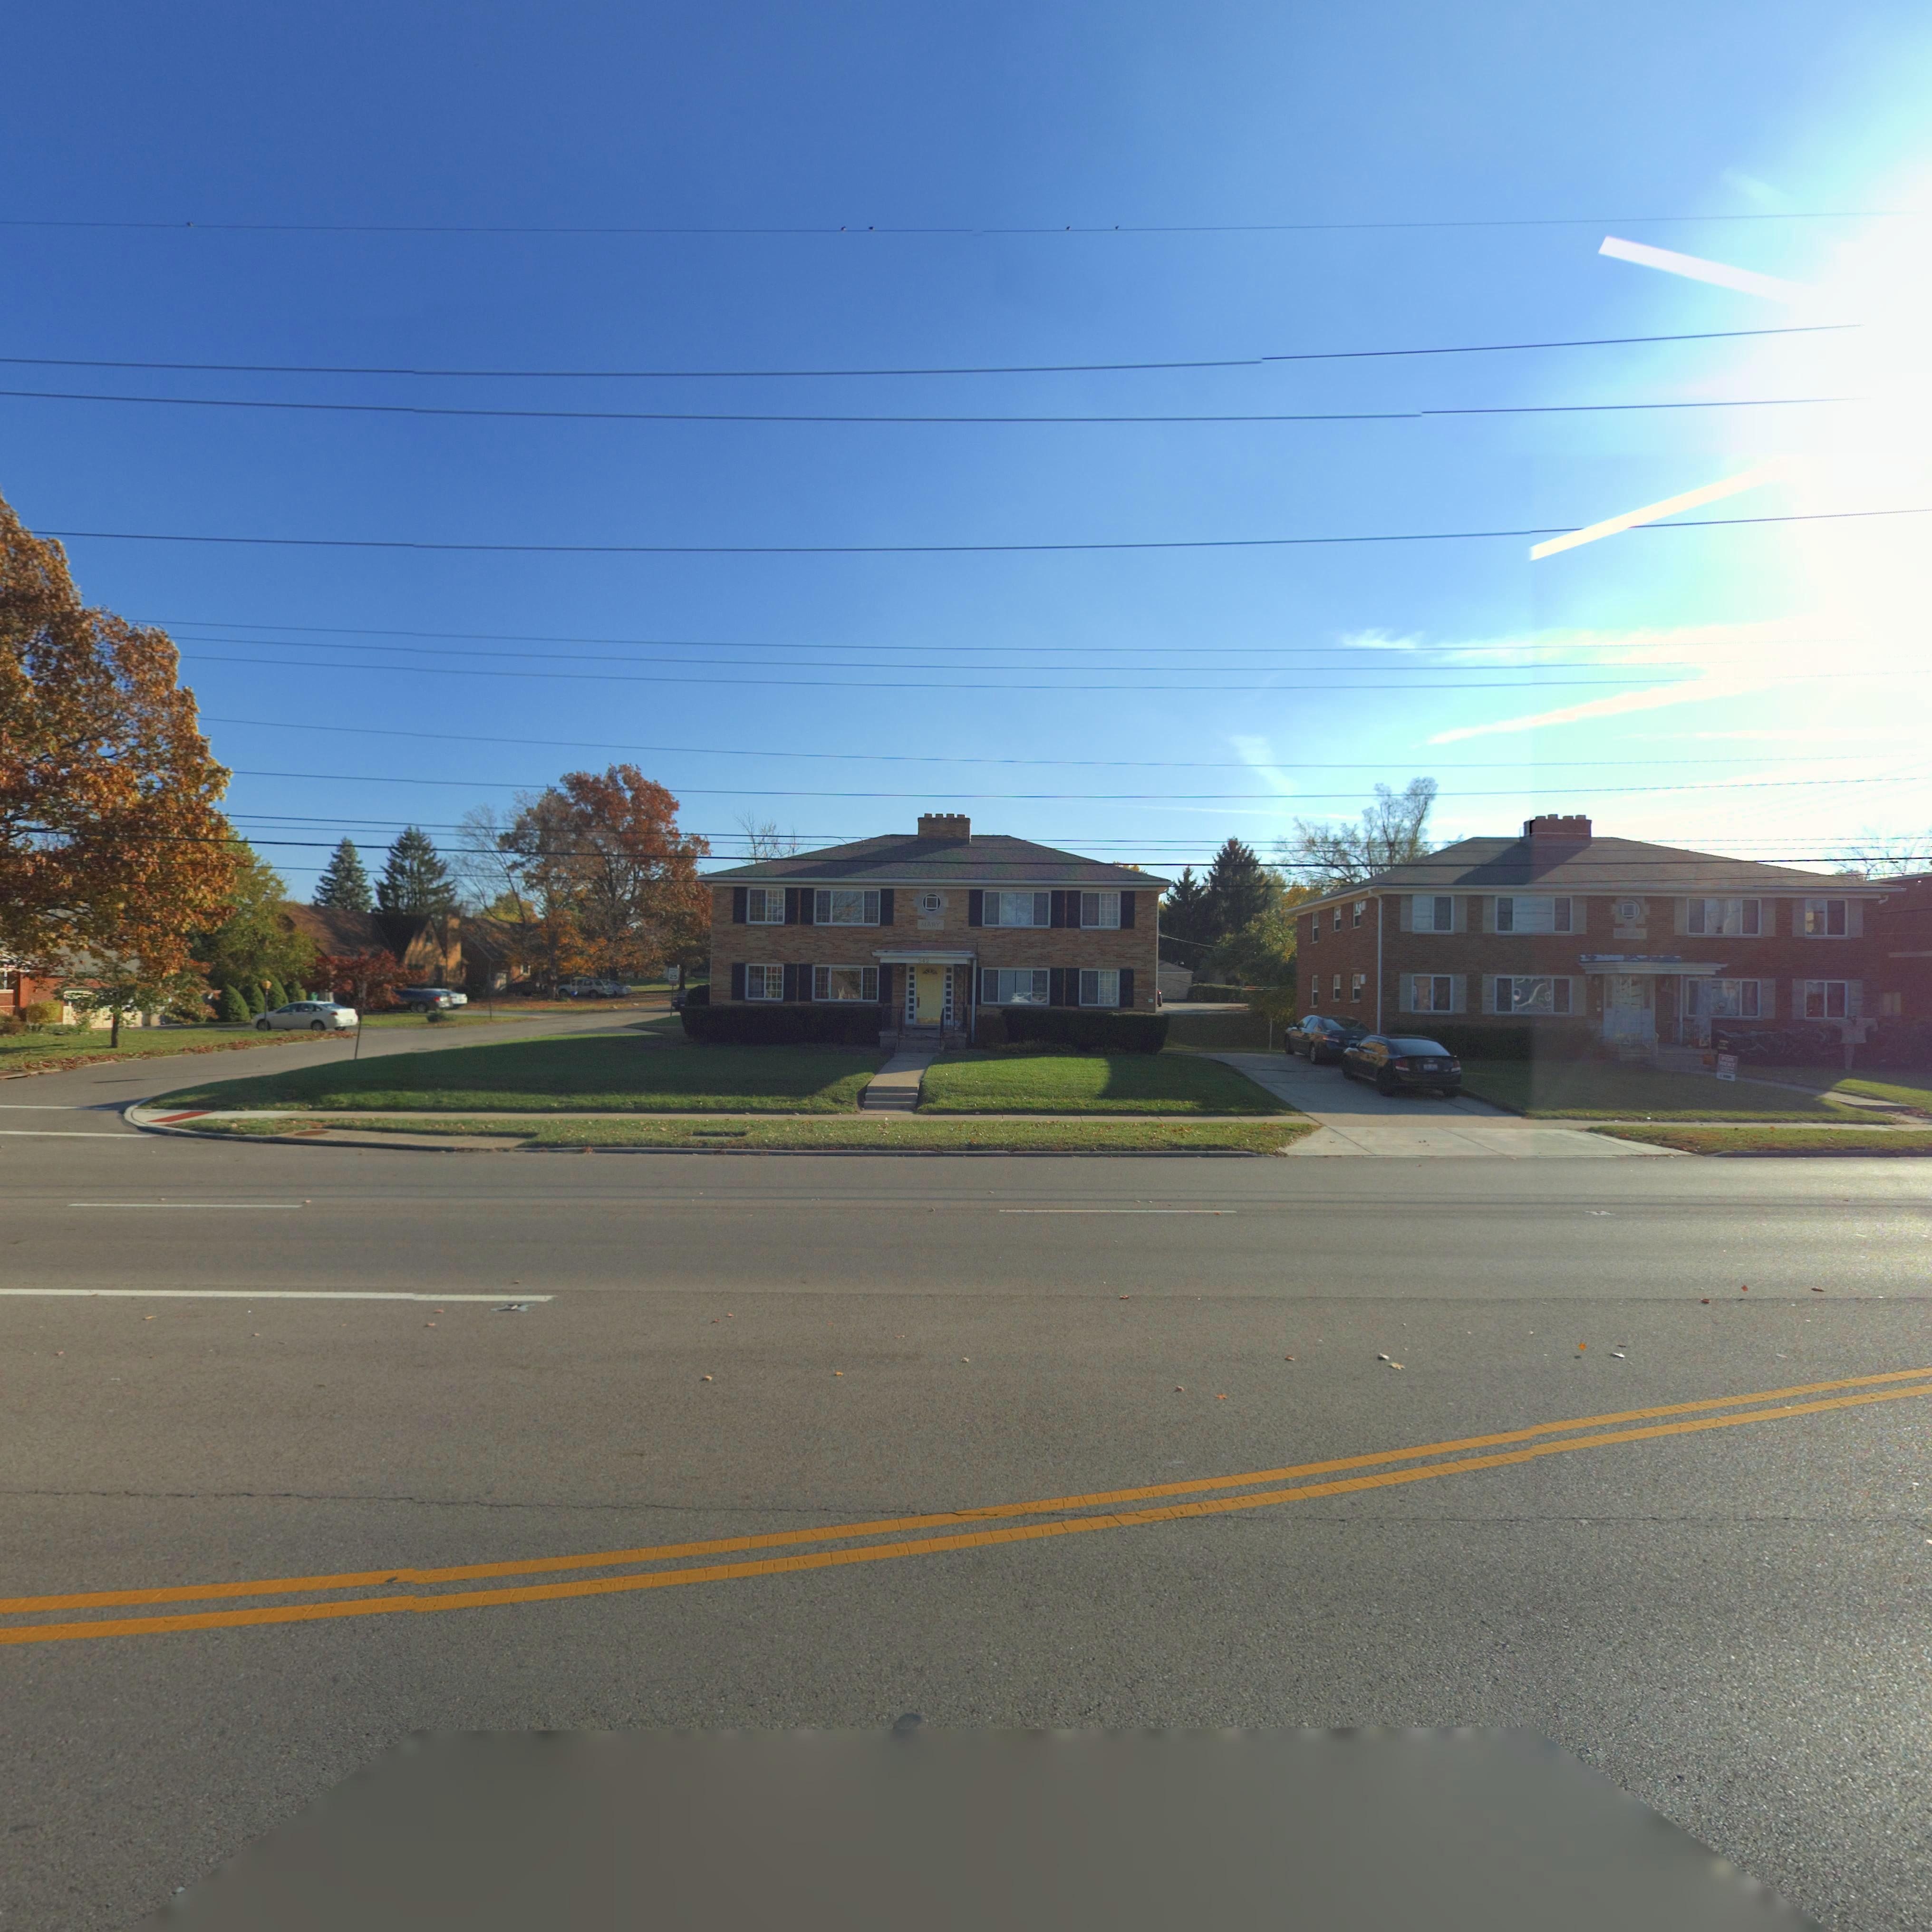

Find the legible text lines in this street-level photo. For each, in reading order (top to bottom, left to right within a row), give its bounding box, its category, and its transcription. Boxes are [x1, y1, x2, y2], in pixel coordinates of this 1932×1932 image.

[918, 958, 930, 964] StreetNumber: 542